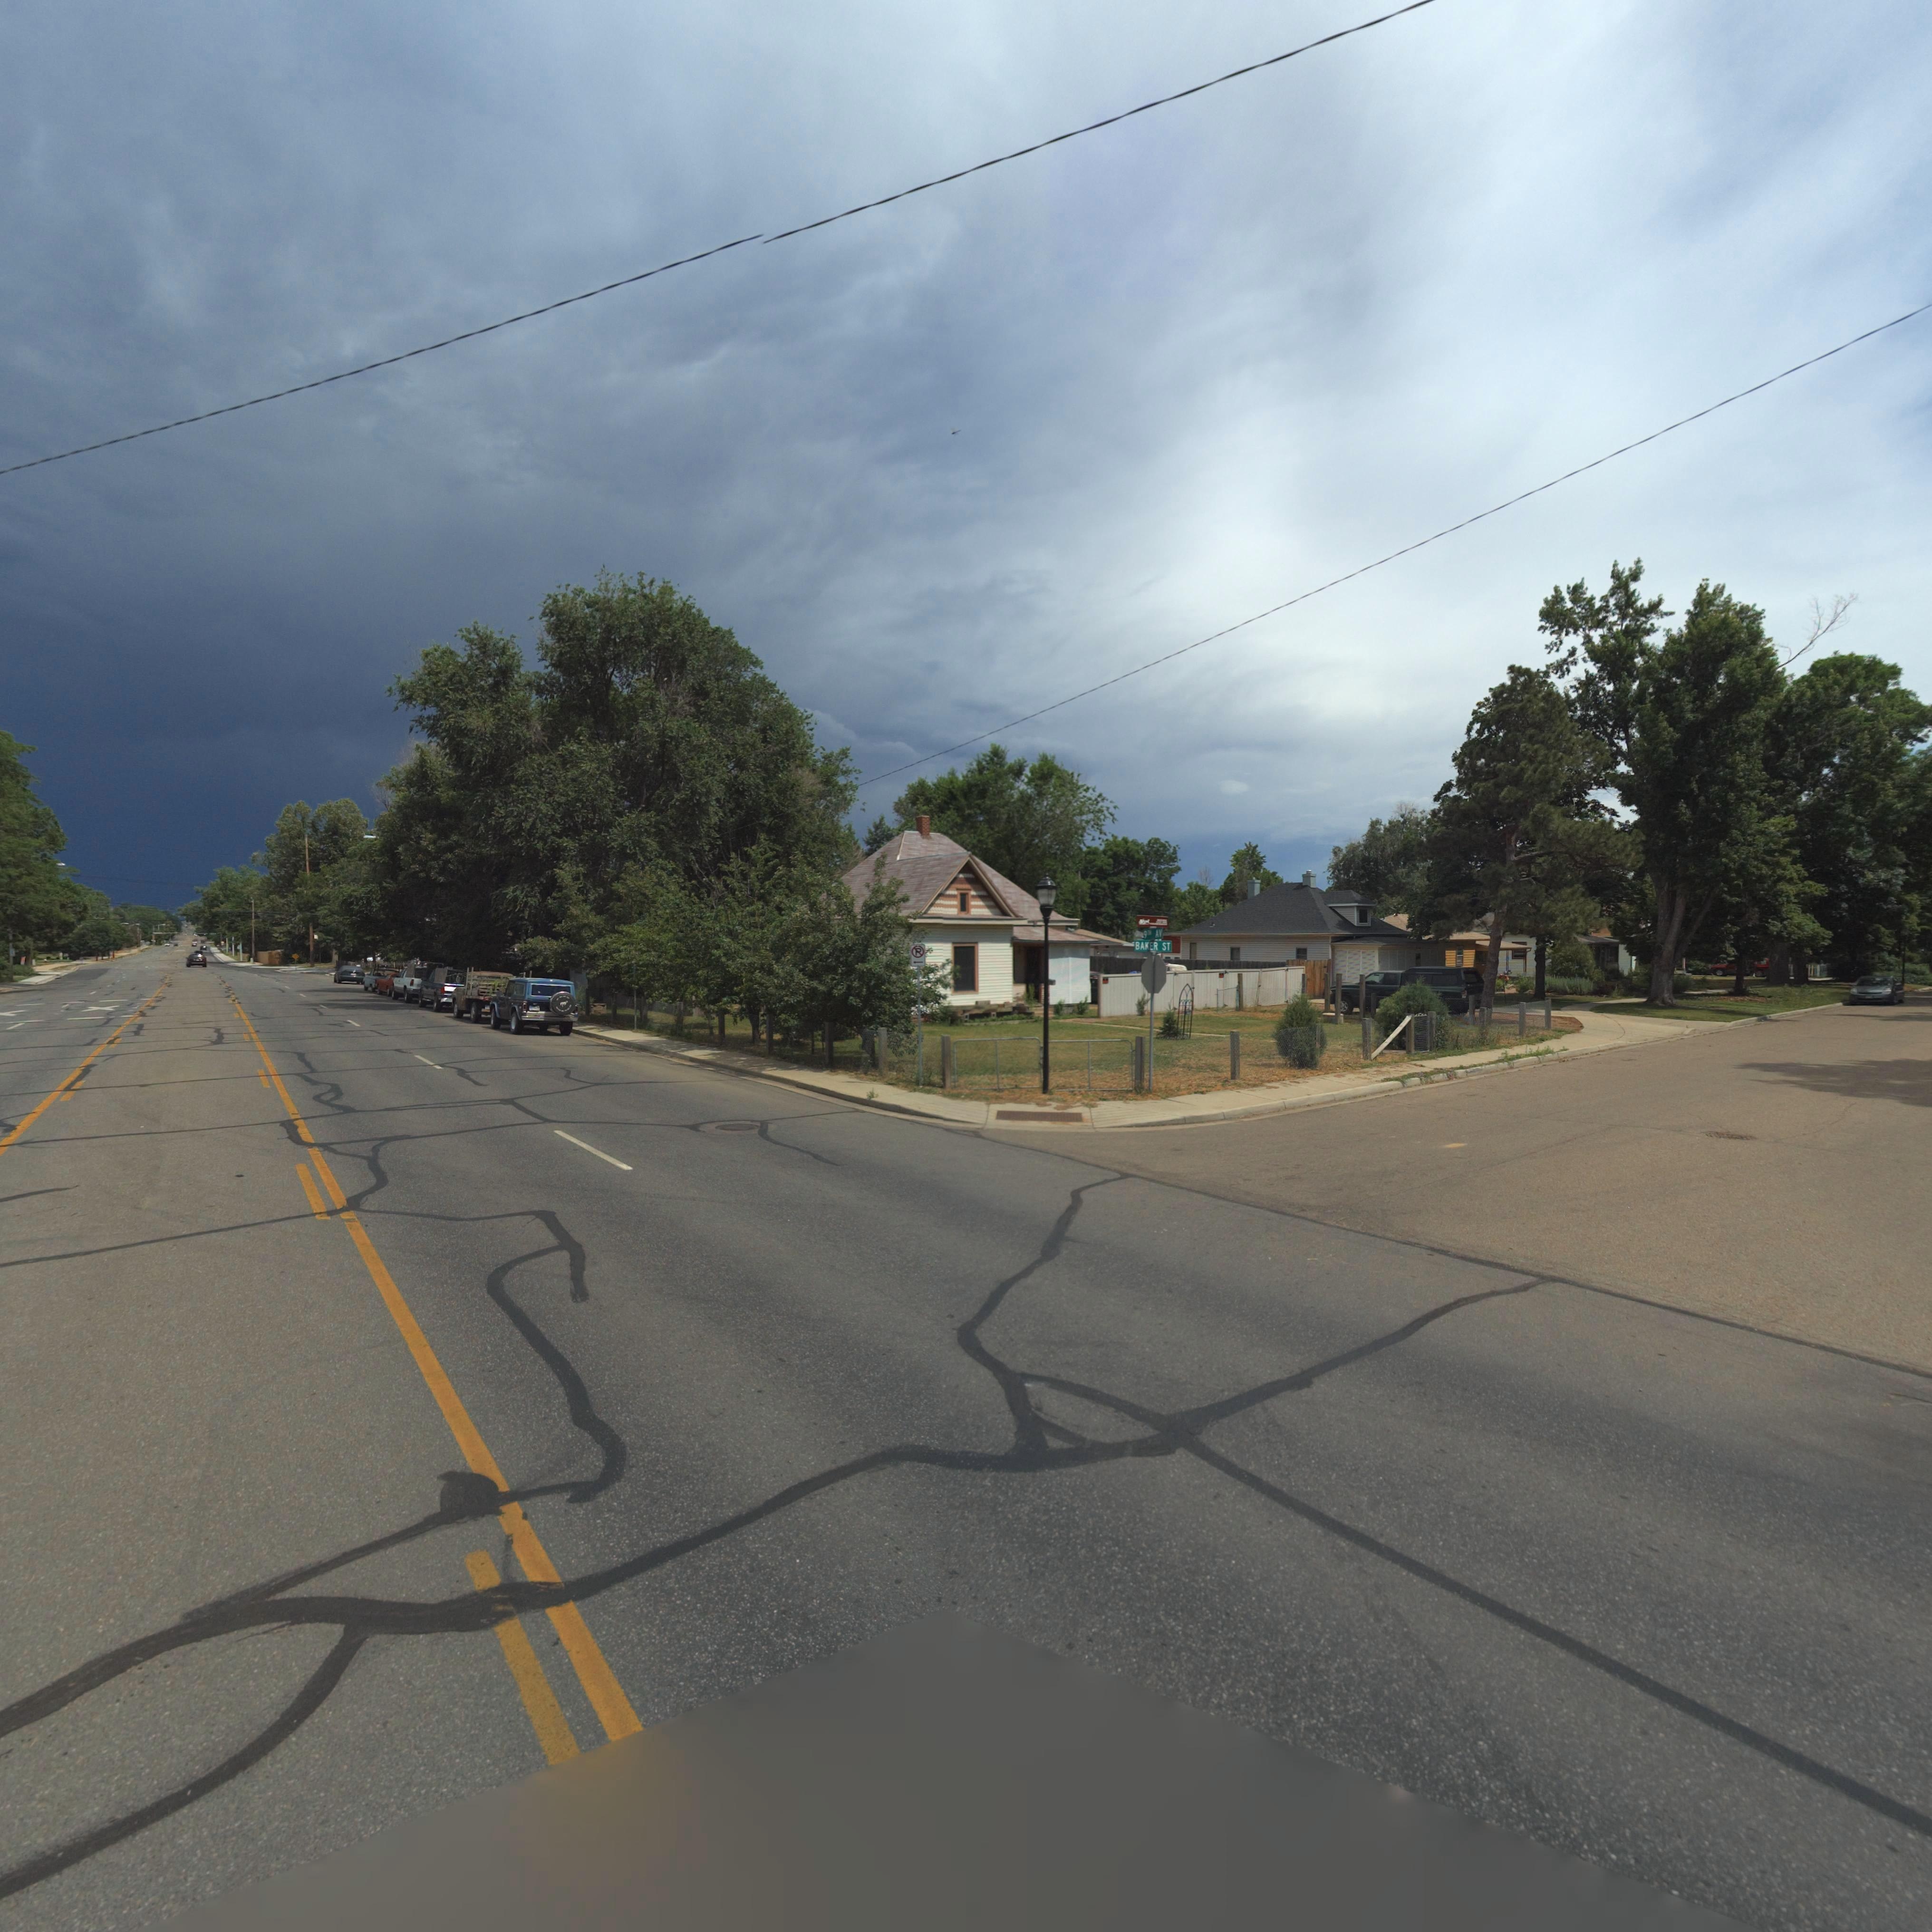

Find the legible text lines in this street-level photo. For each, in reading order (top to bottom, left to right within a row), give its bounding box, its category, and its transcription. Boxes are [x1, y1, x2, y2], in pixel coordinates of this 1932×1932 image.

[1144, 928, 1162, 939] StreetName: 9TH AV
[1135, 941, 1170, 951] StreetName: BAKER ST